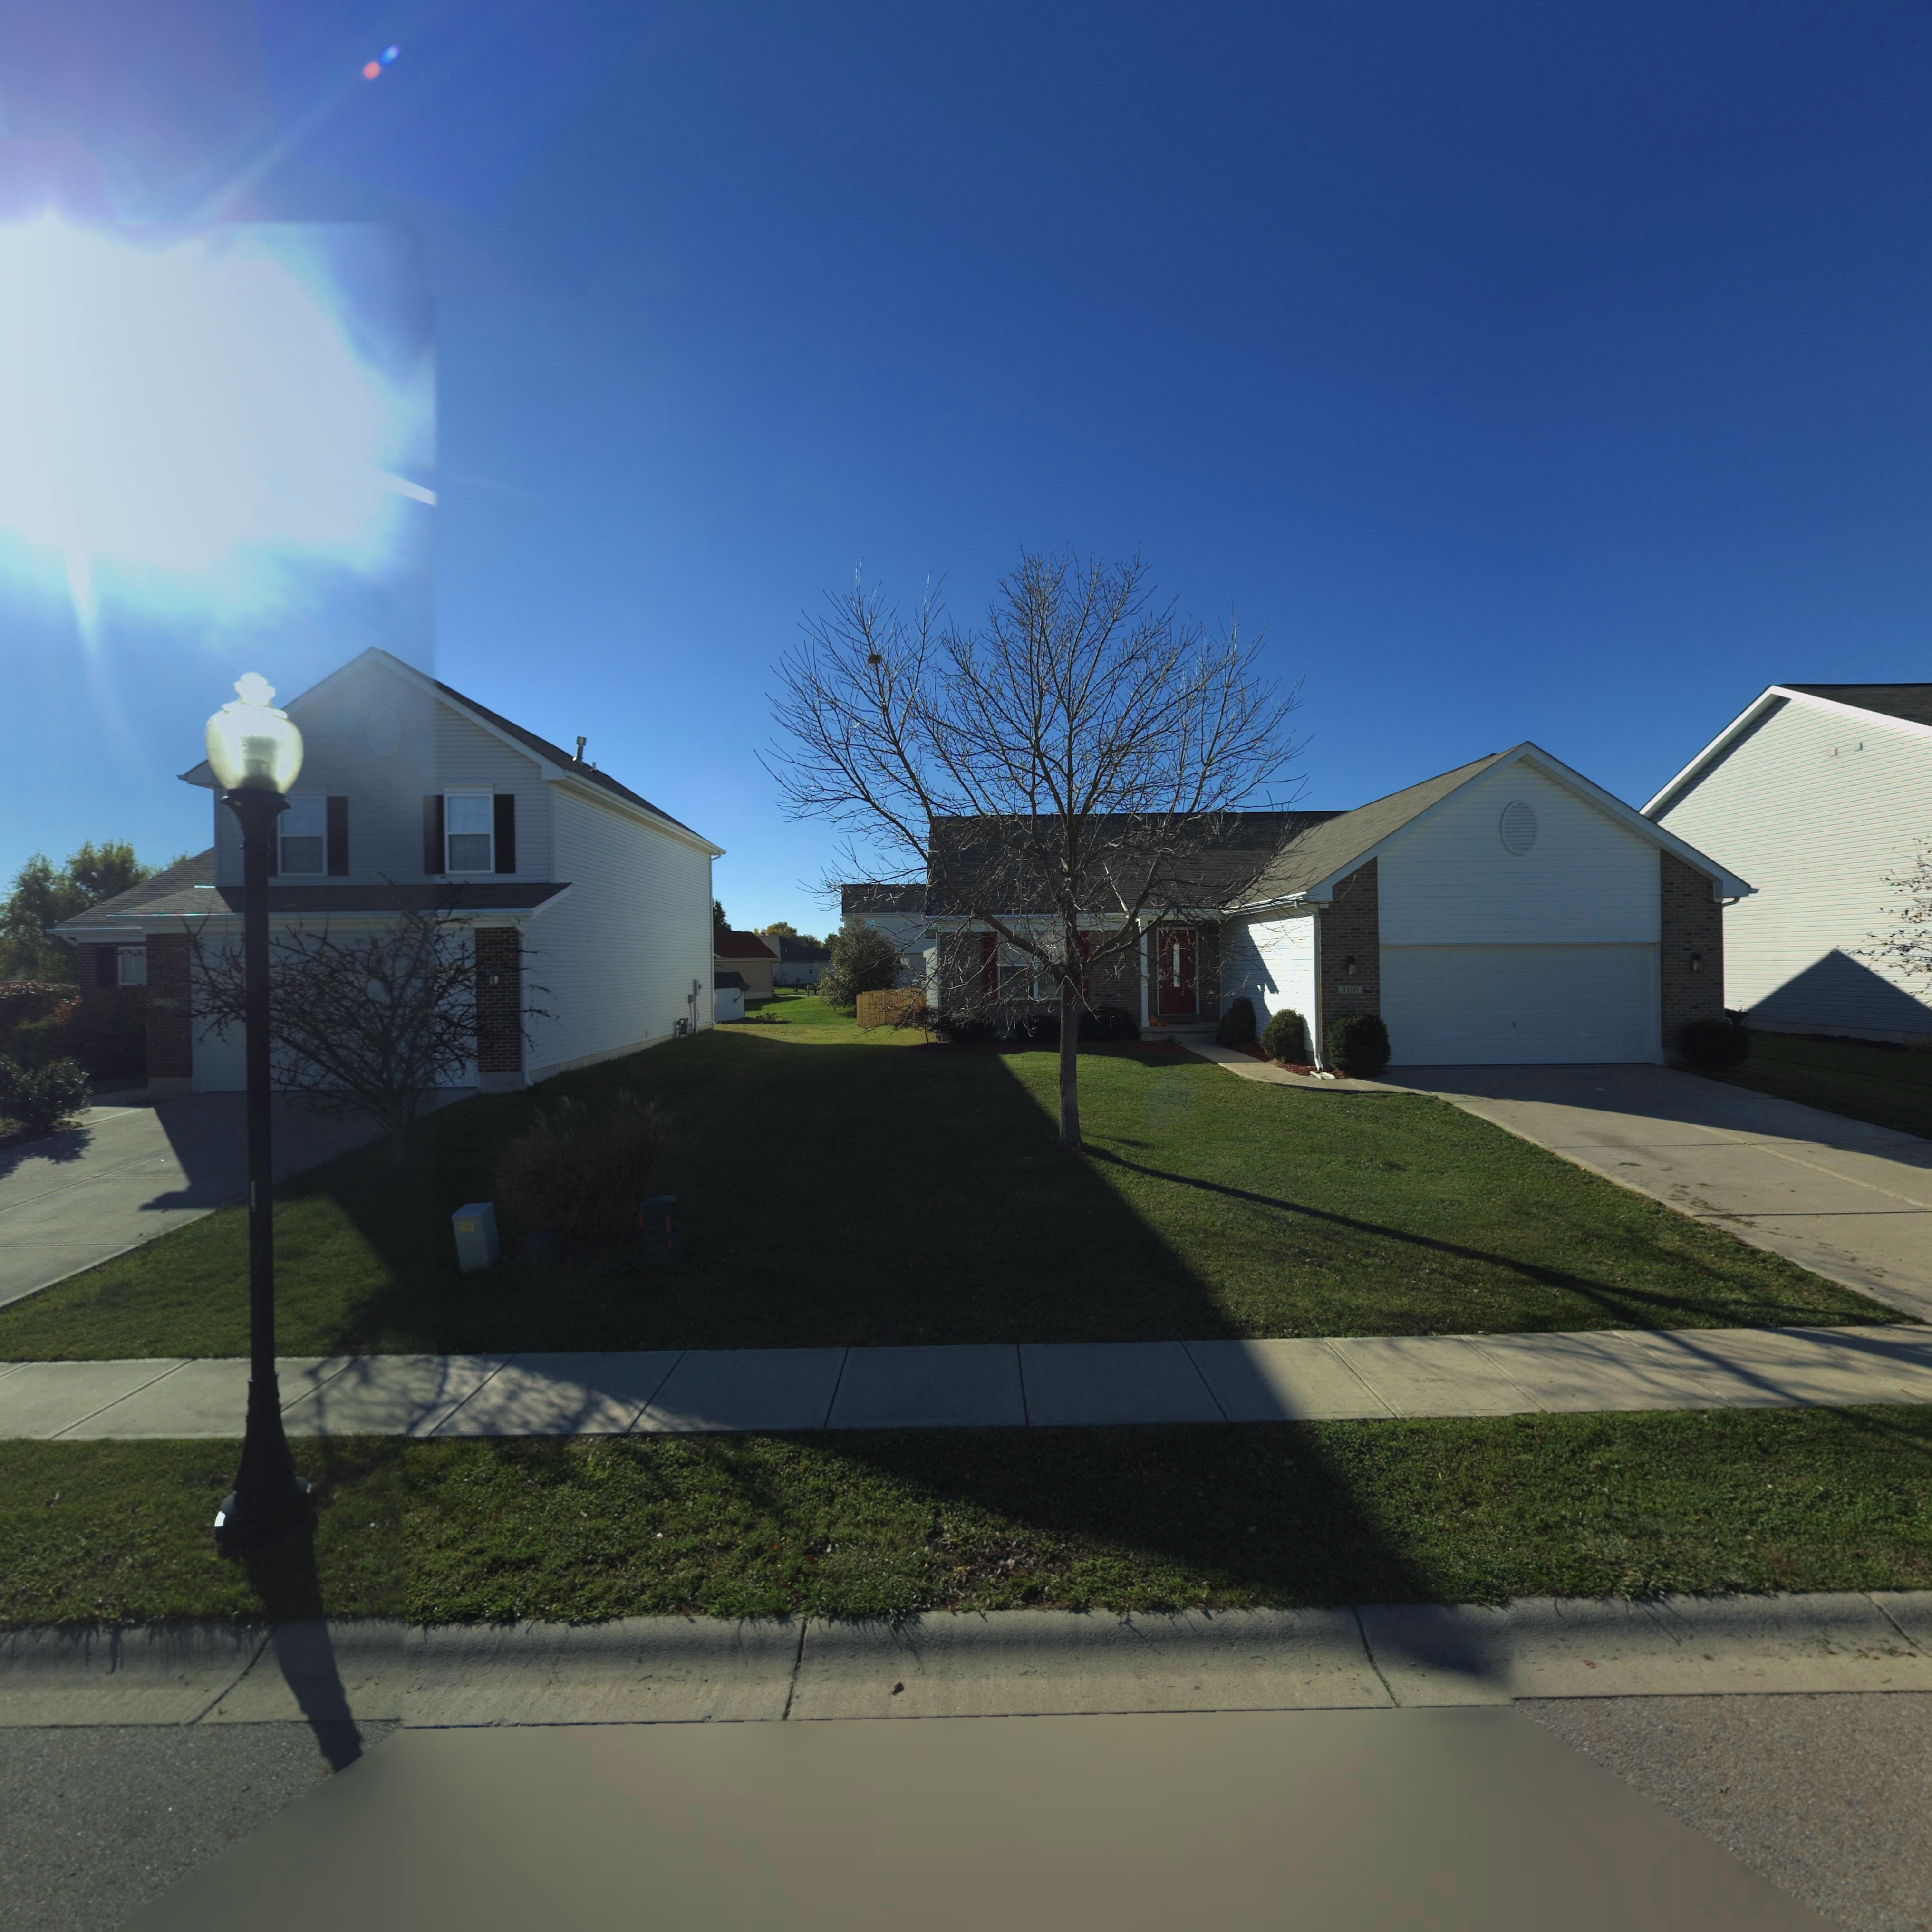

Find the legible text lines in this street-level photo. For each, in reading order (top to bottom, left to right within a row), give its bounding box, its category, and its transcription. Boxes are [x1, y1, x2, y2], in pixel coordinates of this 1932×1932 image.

[1343, 986, 1359, 993] StreetNumber: 106